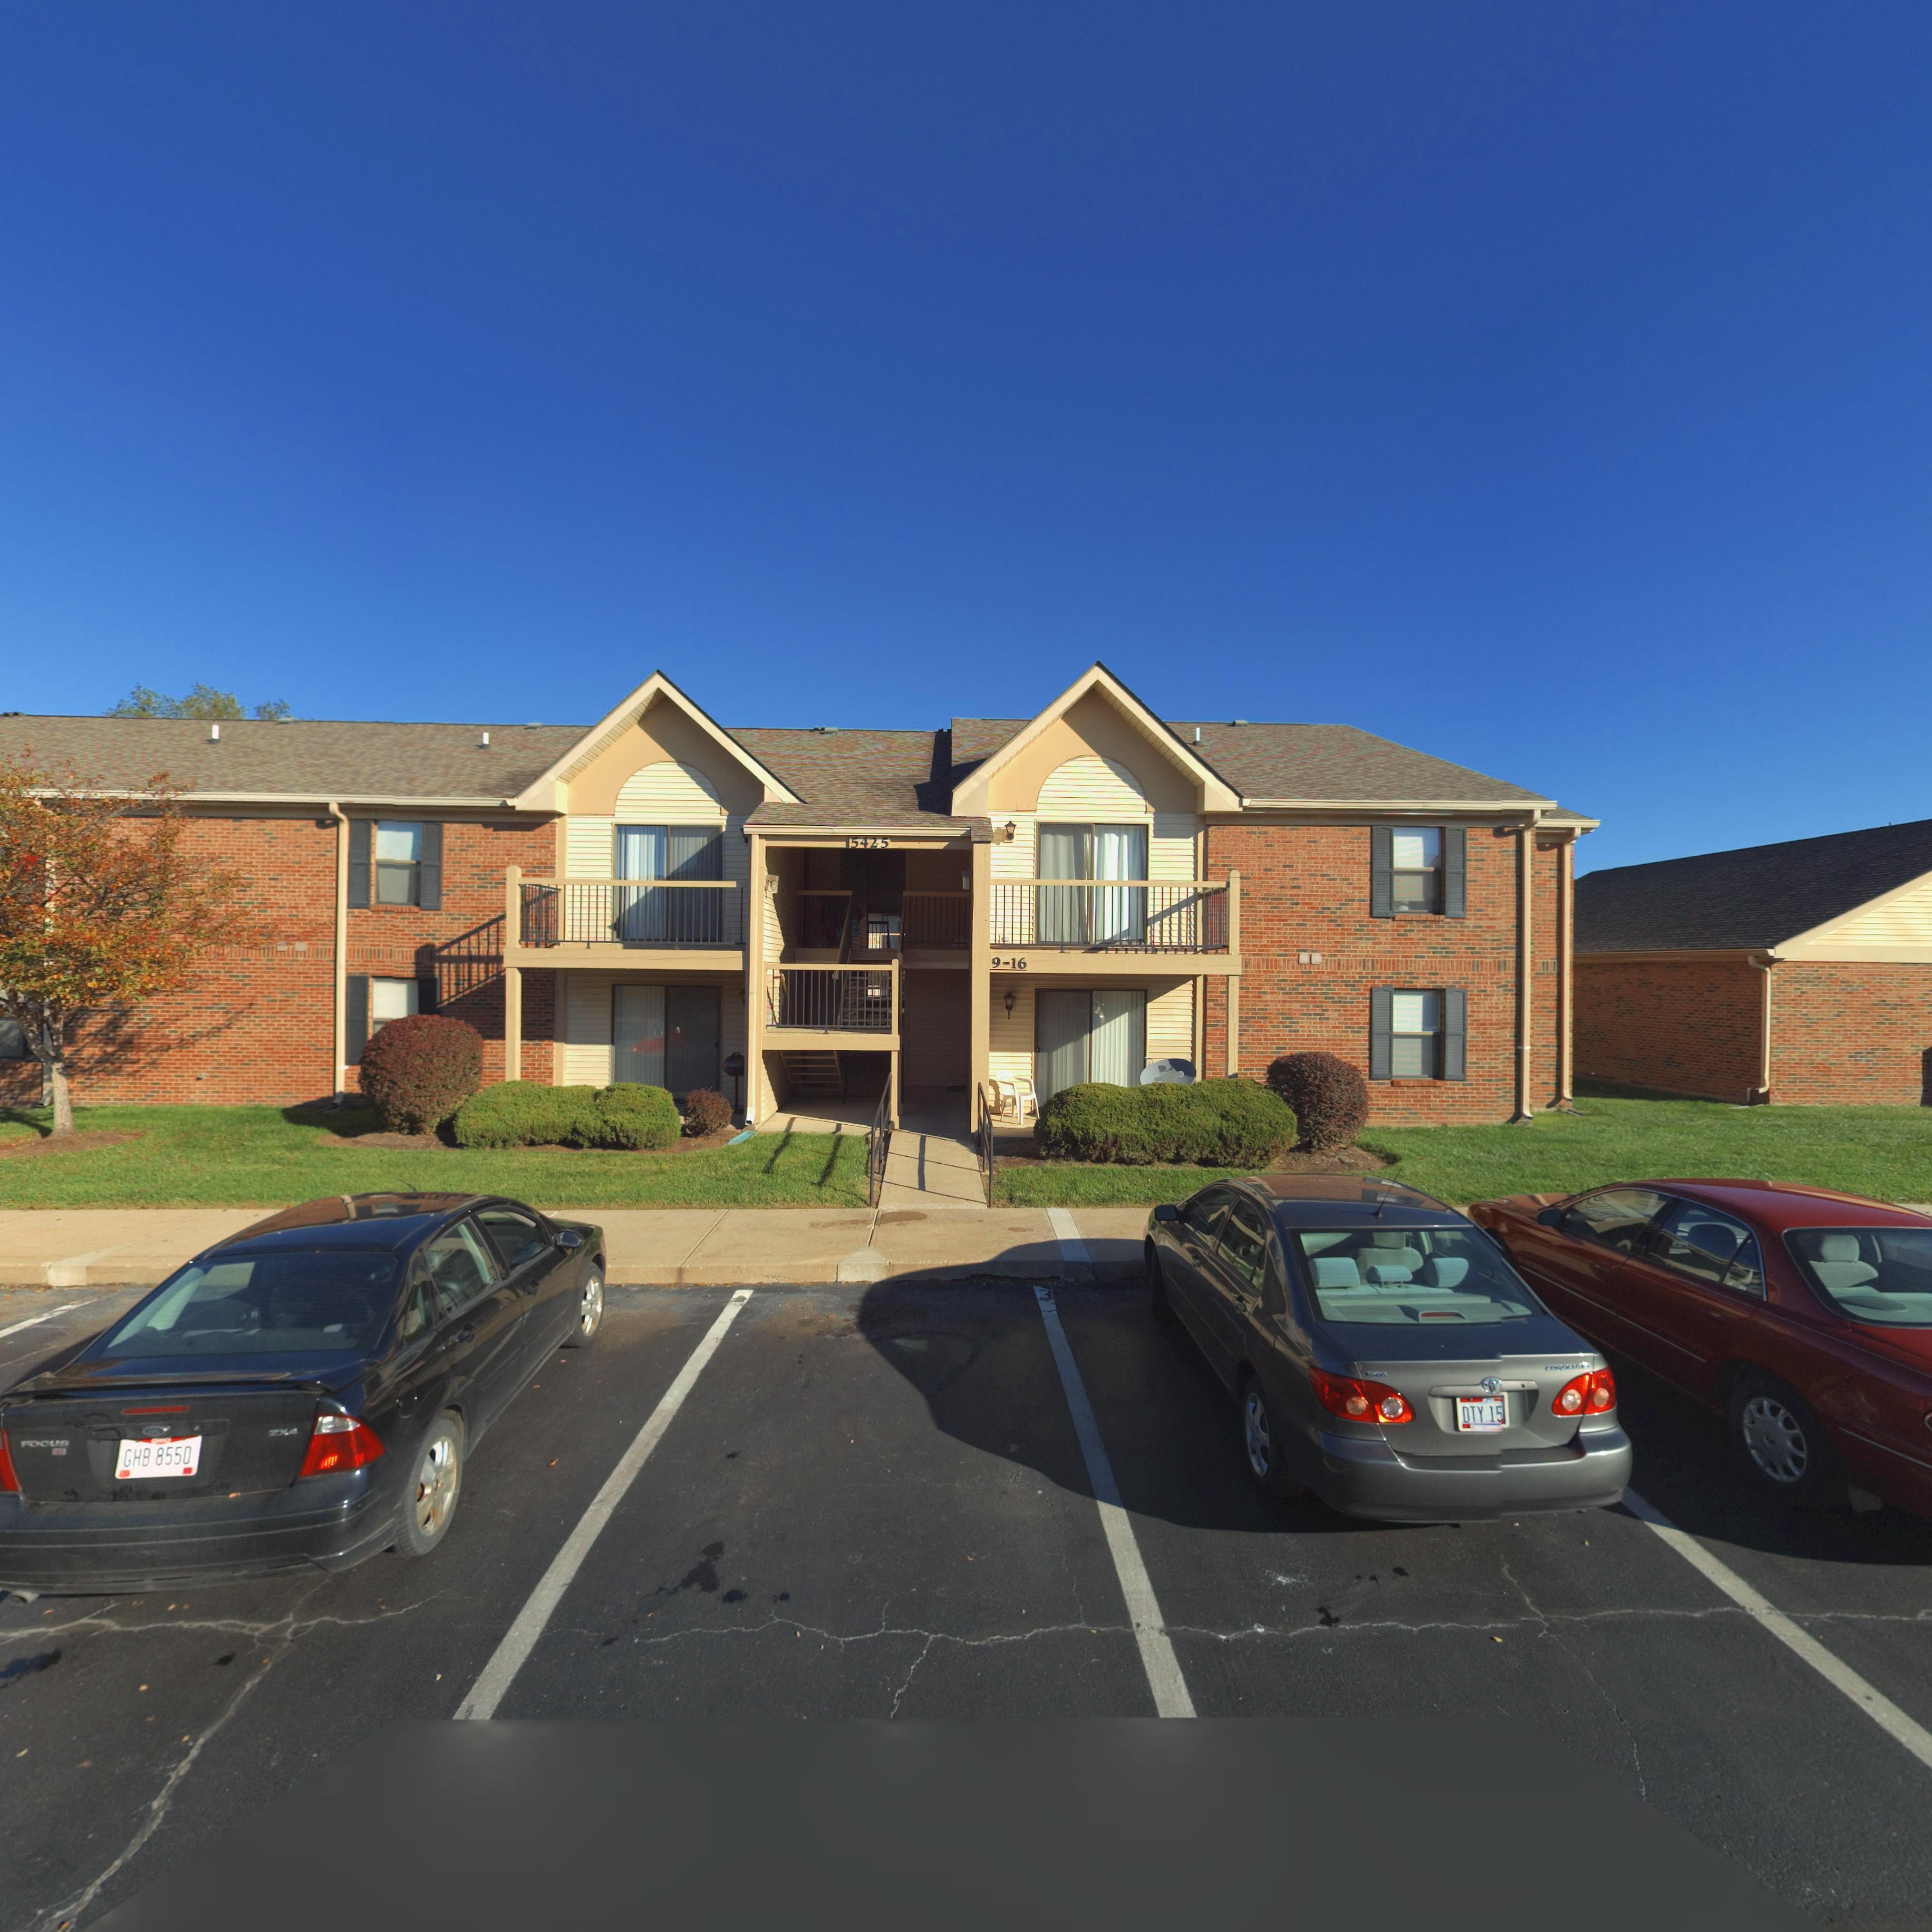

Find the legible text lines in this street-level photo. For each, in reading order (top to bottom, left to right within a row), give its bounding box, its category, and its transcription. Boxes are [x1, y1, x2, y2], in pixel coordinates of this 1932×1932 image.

[850, 836, 889, 849] StreetNumber: 5425
[990, 956, 1027, 969] StreetNumber: 9-16